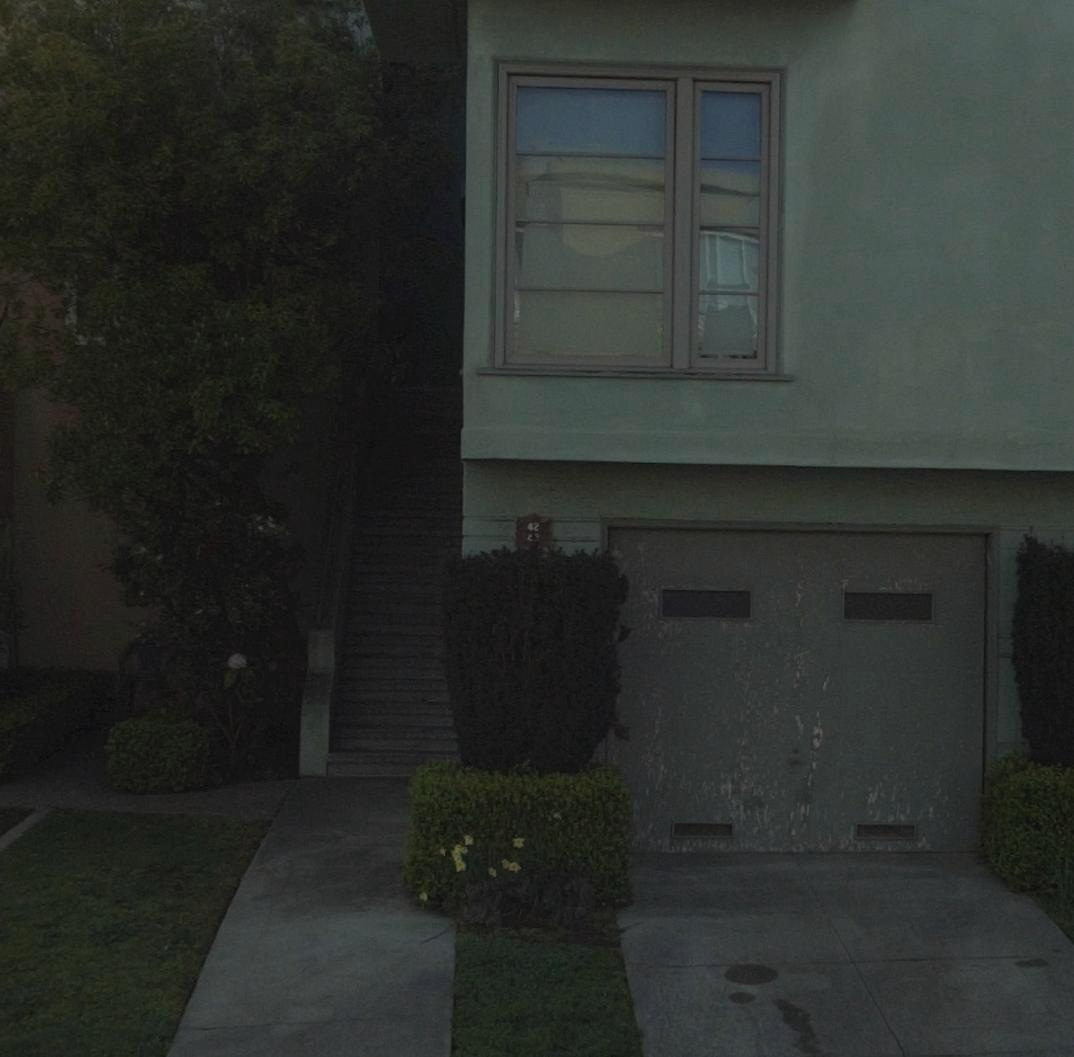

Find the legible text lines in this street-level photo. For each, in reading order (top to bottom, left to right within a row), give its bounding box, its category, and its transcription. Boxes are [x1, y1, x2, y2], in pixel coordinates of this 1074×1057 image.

[525, 521, 541, 534] StreetNumber: 42